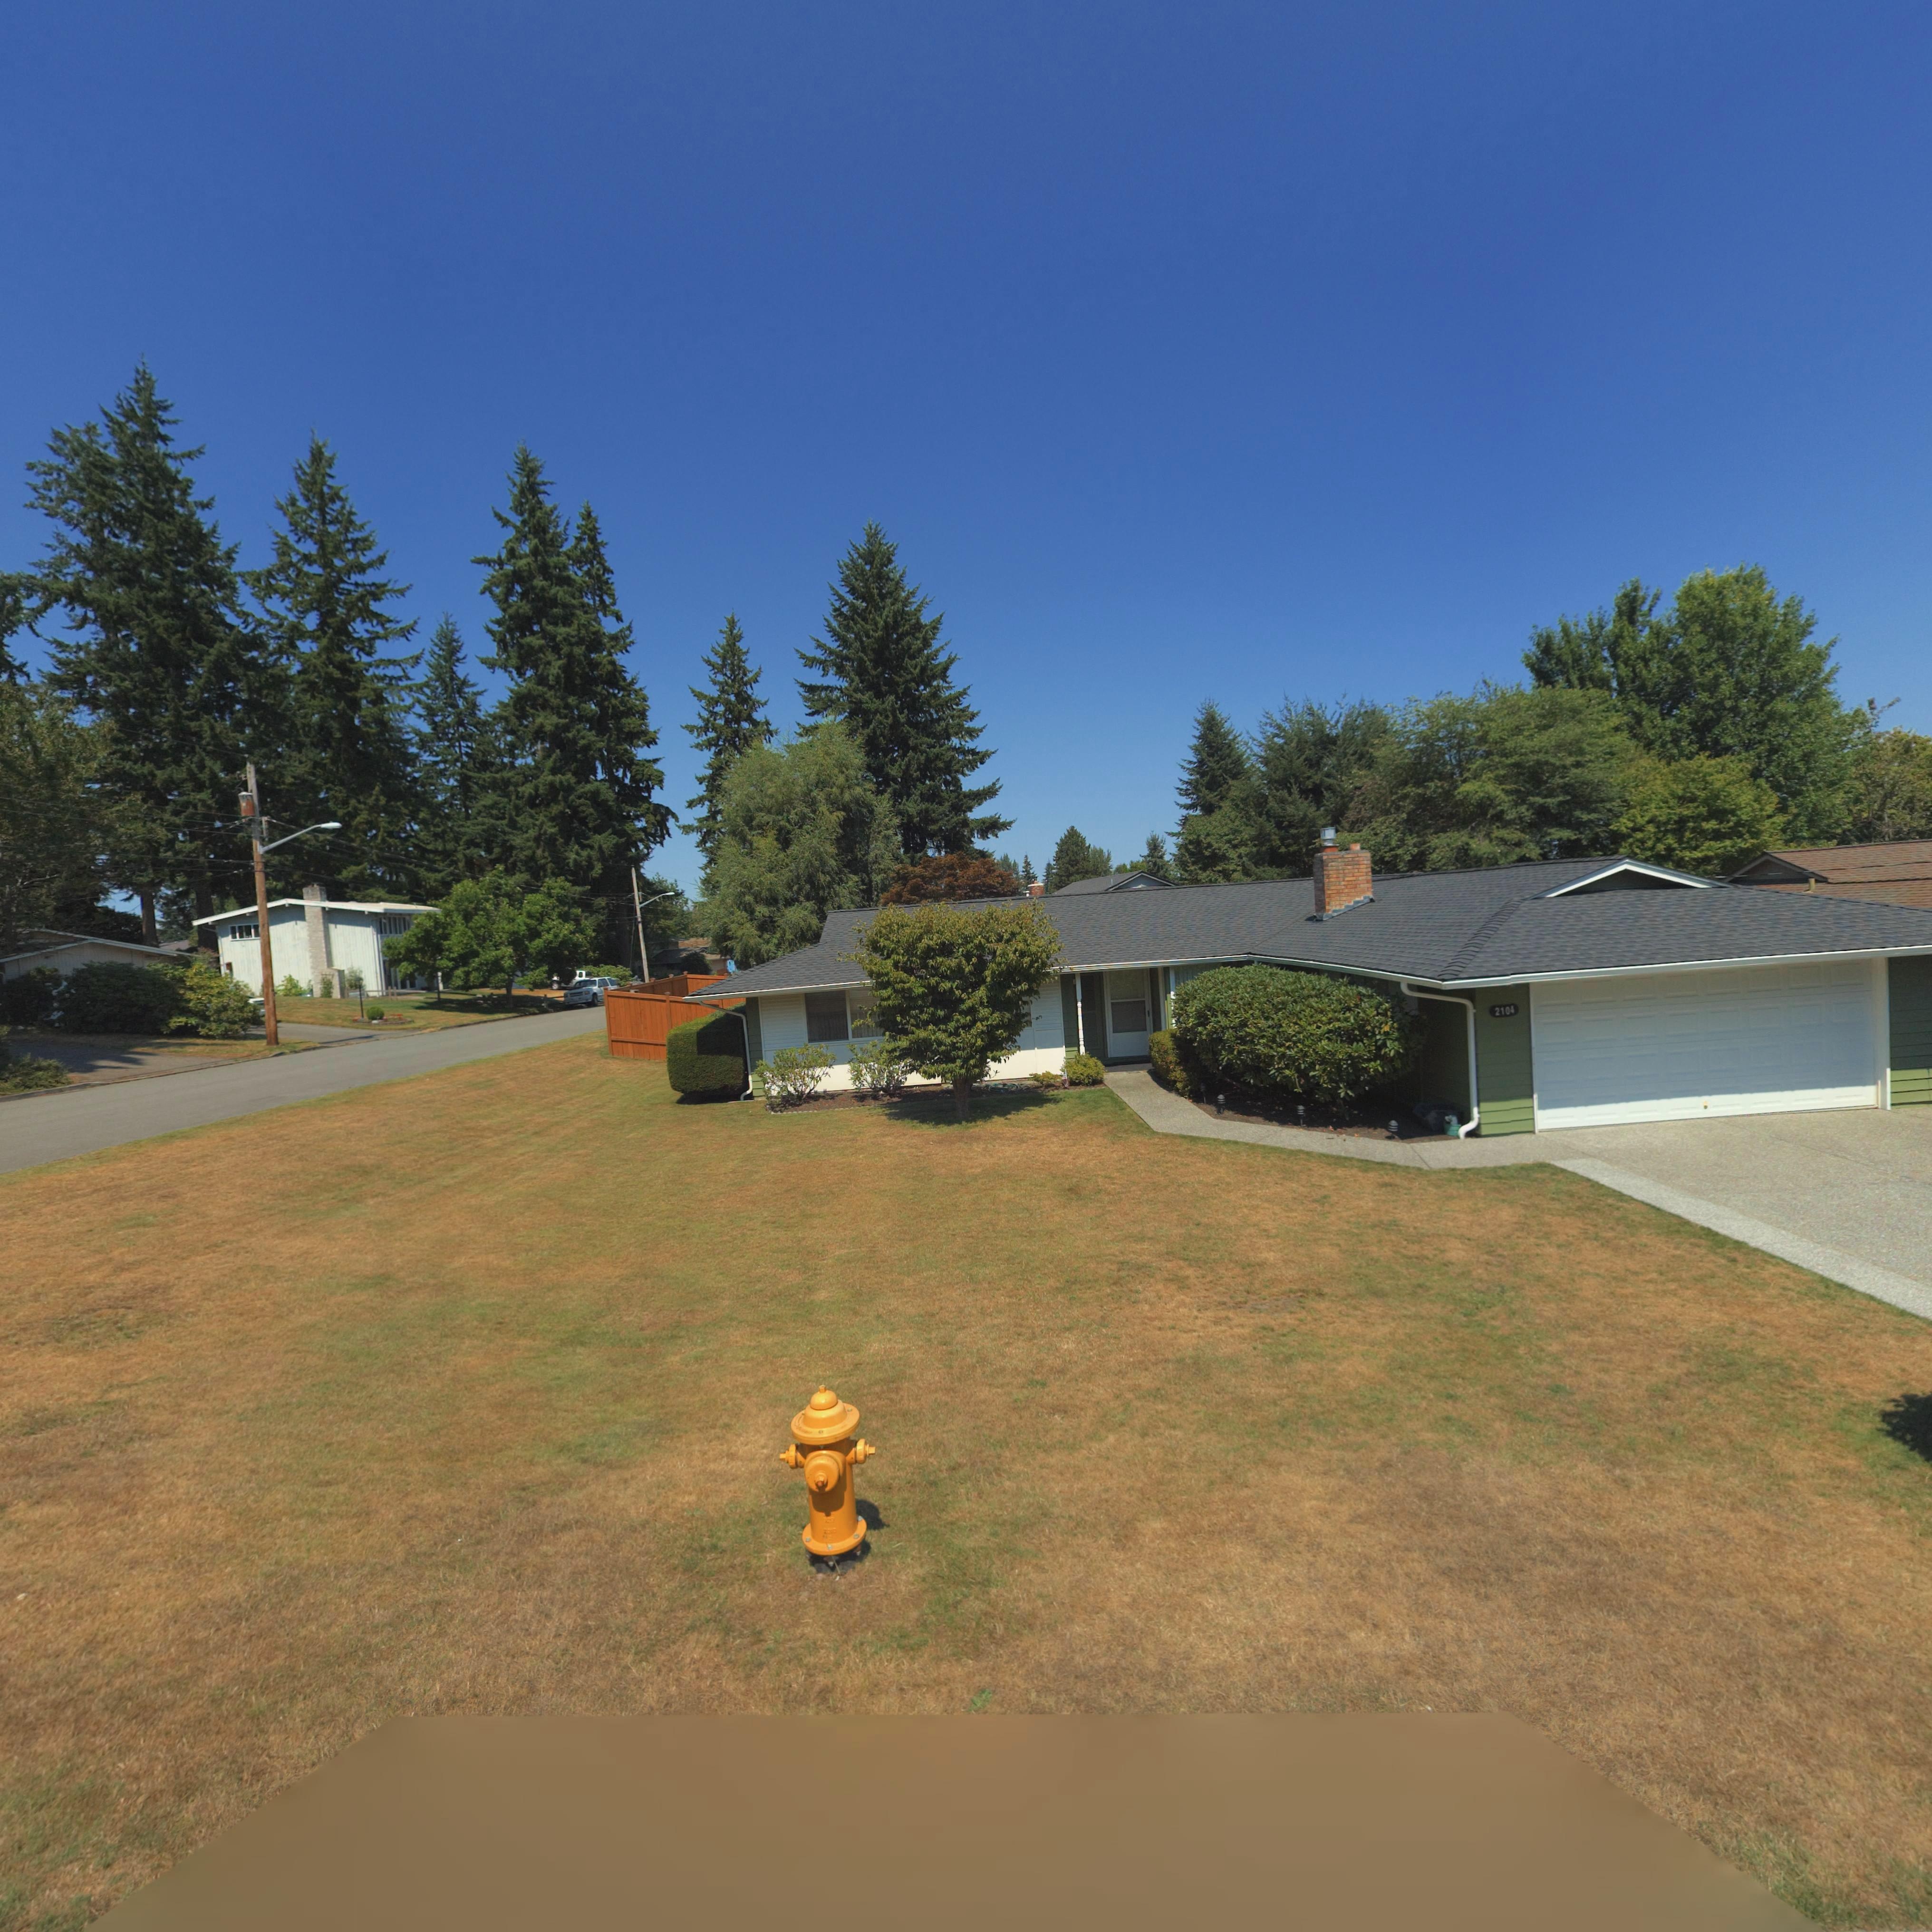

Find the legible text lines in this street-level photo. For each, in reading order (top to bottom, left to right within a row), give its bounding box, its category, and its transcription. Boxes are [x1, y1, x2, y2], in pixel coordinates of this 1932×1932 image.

[1495, 1005, 1516, 1016] StreetNumber: 2104